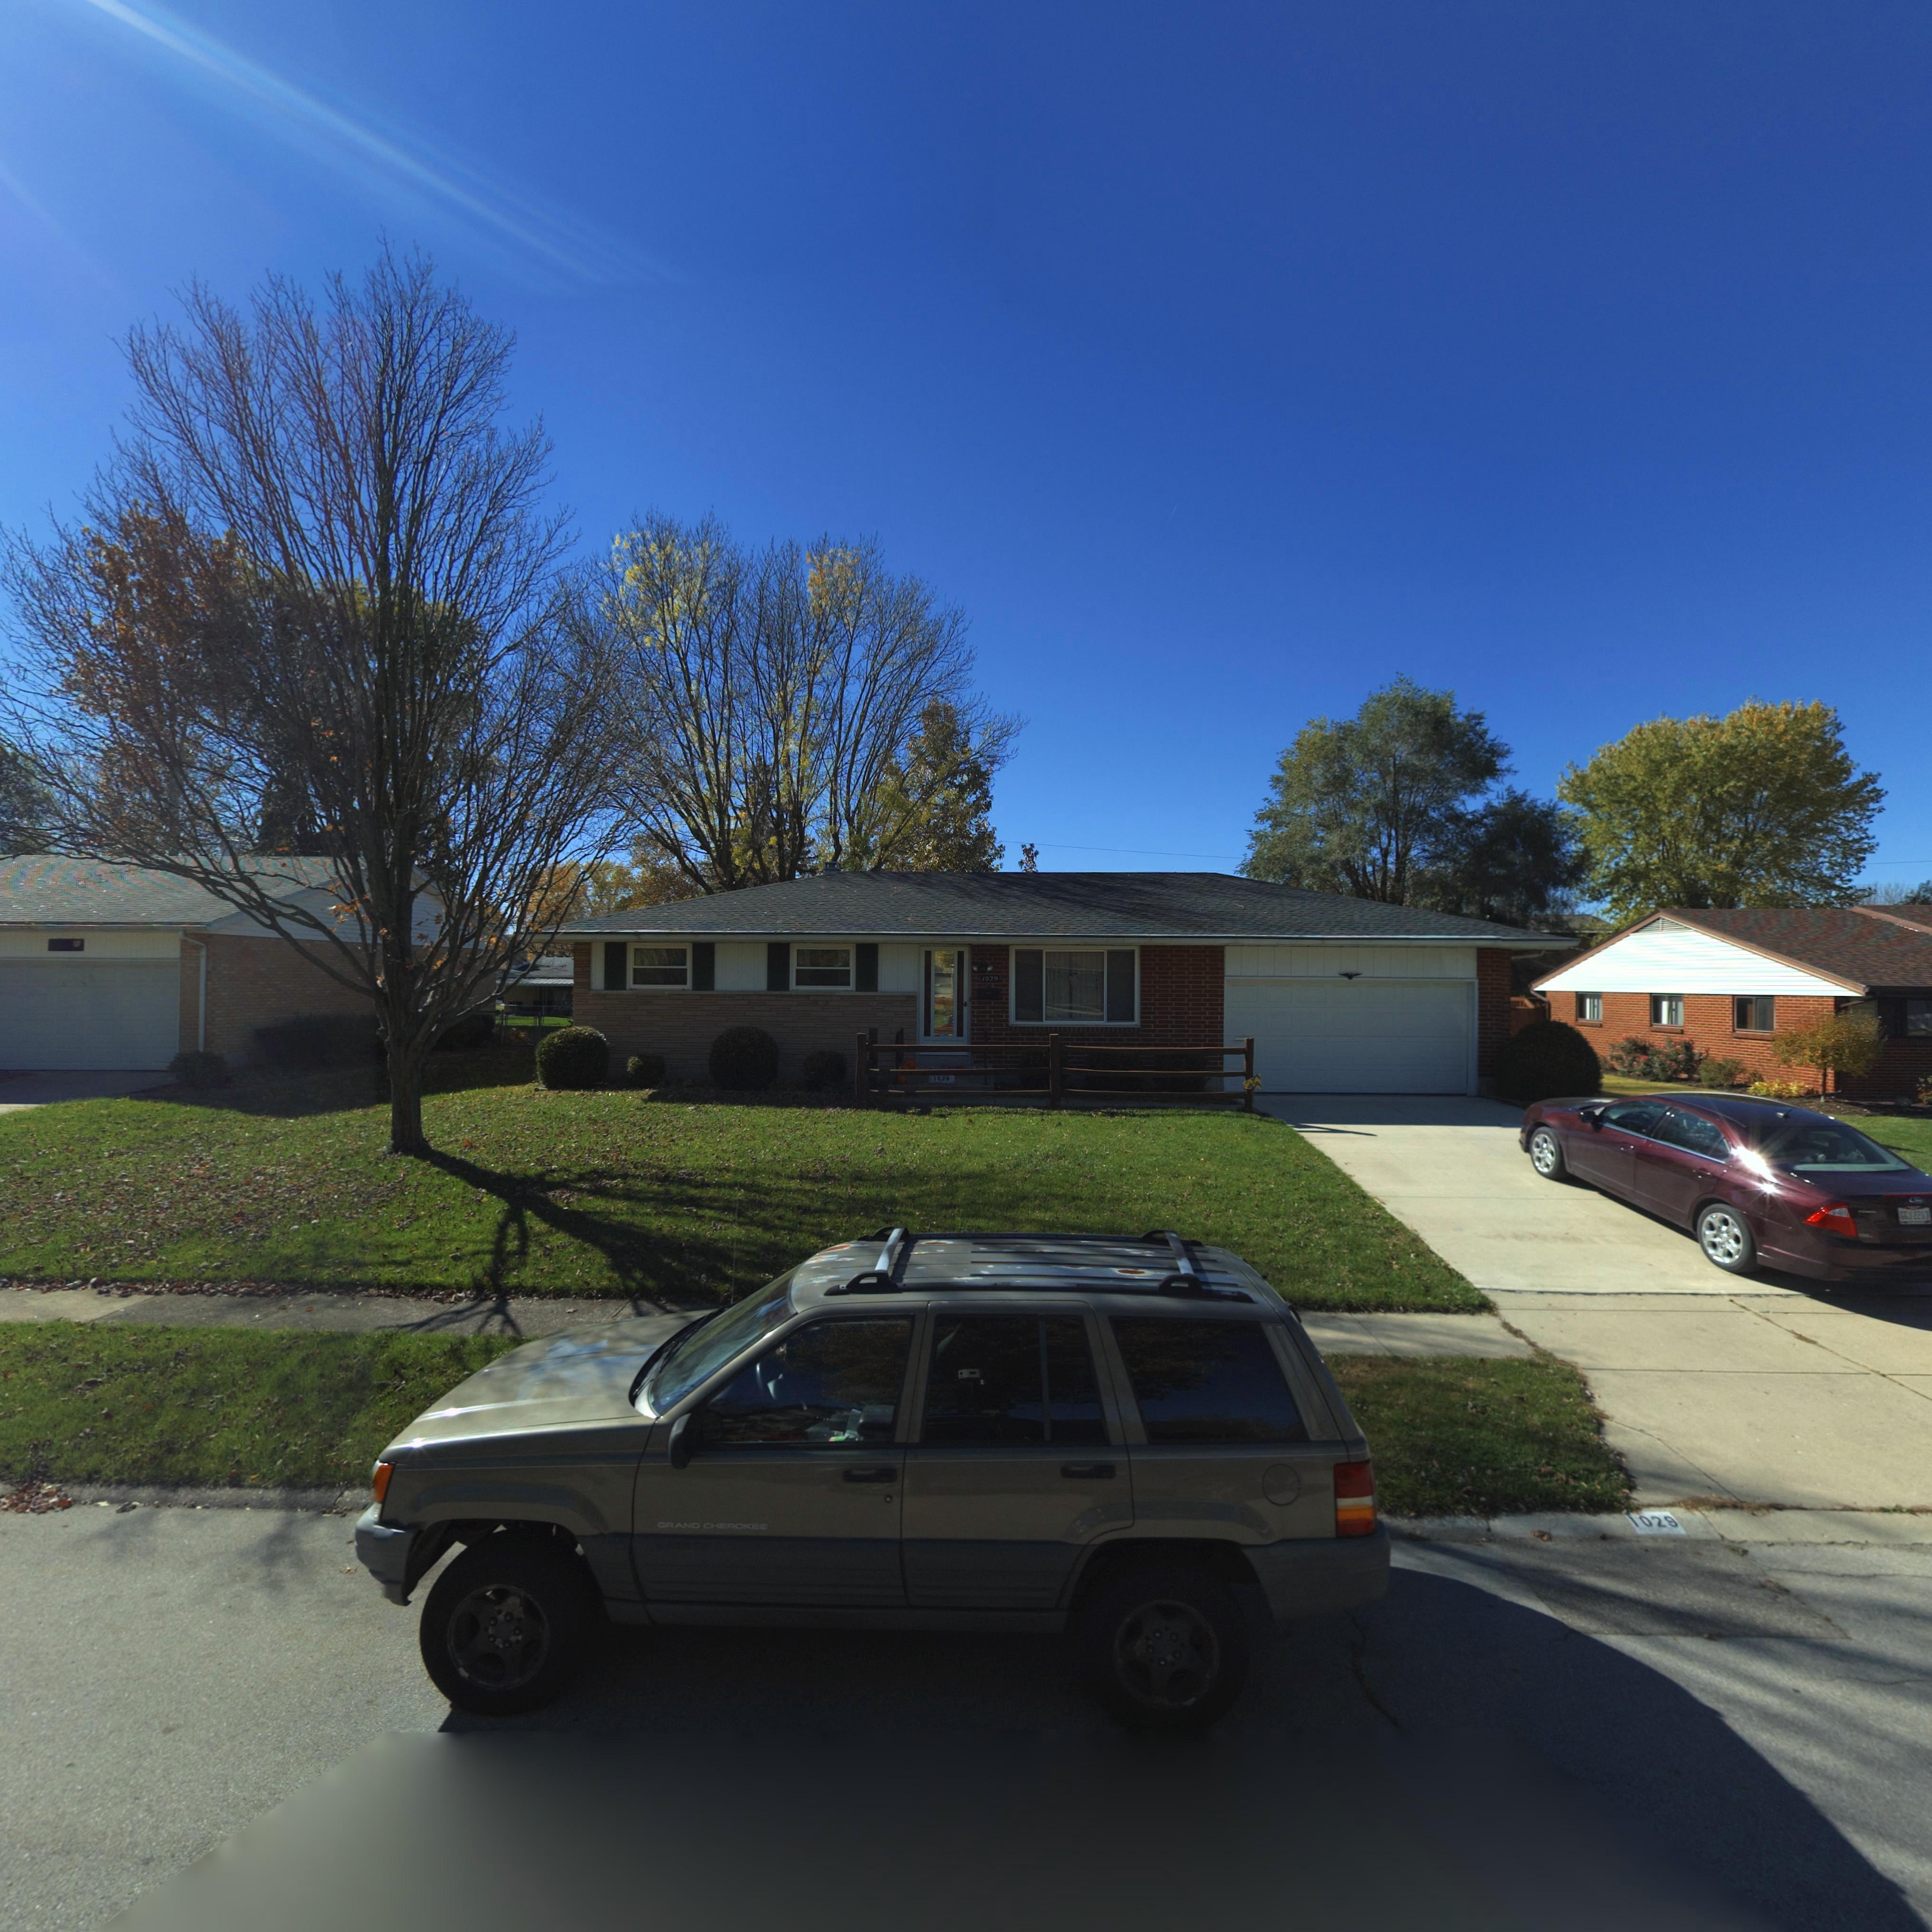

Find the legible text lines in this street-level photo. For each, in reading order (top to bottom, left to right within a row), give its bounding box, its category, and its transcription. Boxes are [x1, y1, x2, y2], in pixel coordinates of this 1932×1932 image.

[982, 976, 998, 981] StreetNumber: 1029
[933, 1076, 950, 1081] StreetNumber: 1029
[1628, 1515, 1679, 1528] StreetNumber: 1029